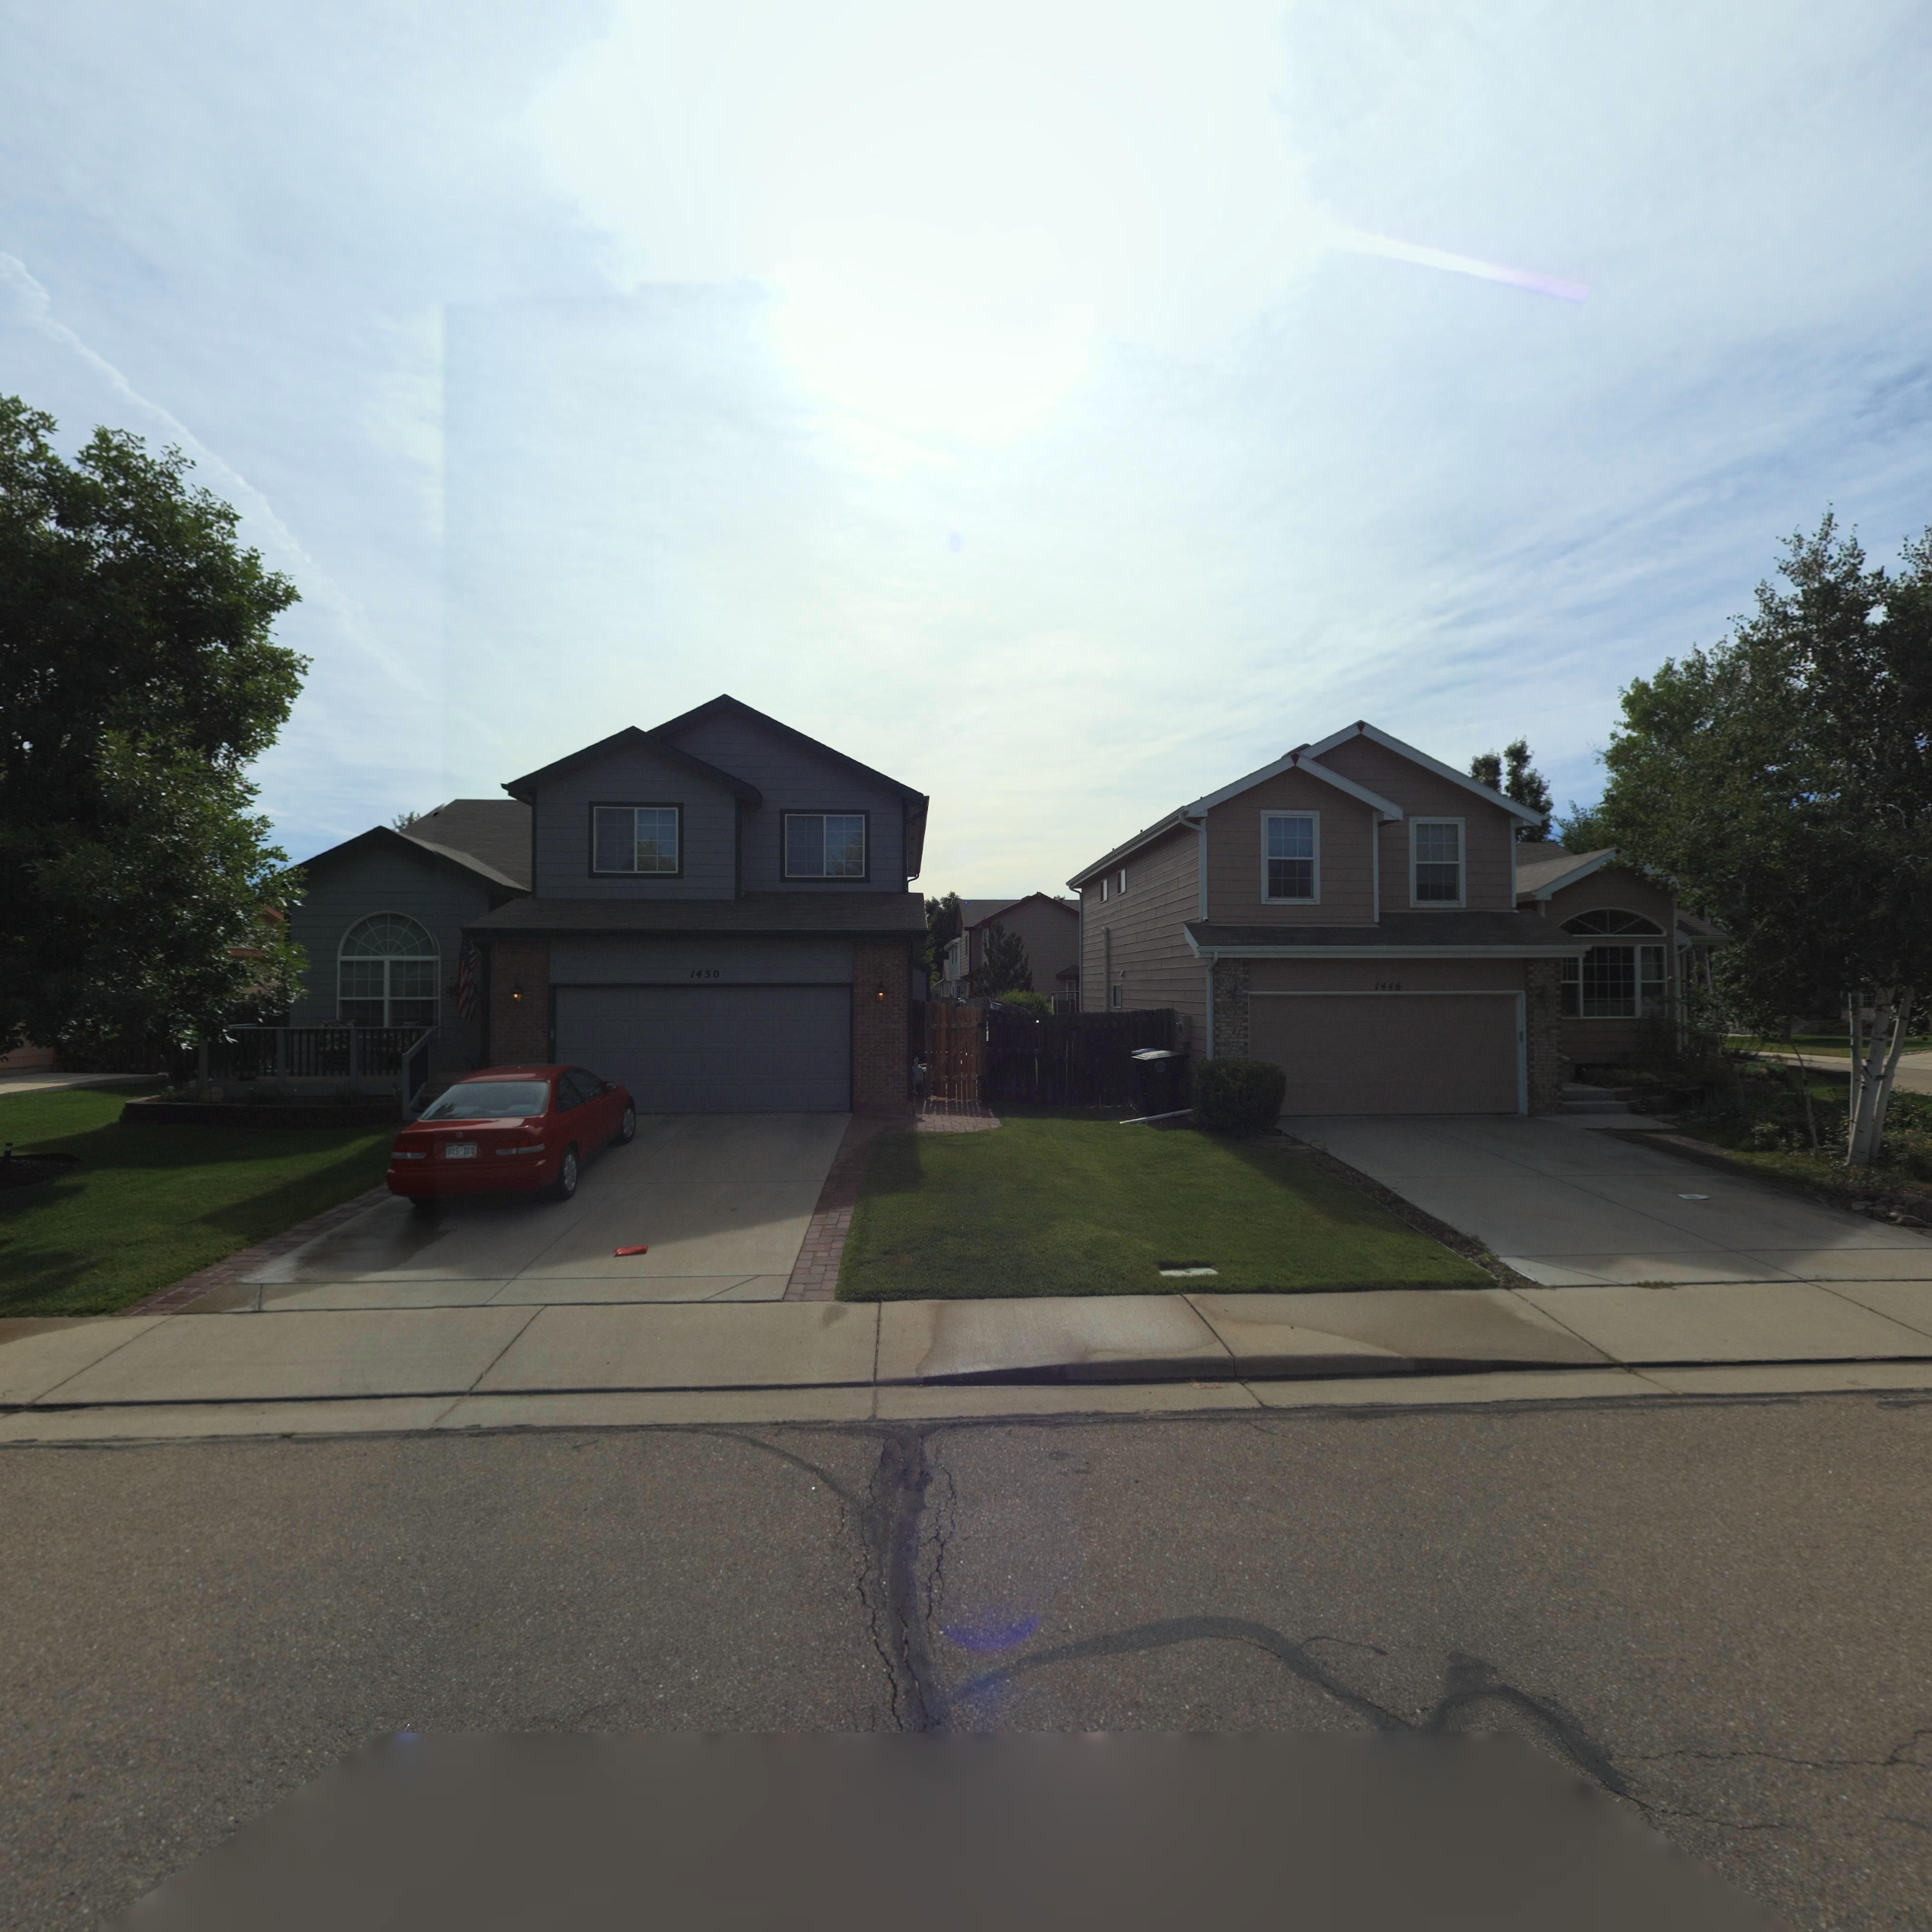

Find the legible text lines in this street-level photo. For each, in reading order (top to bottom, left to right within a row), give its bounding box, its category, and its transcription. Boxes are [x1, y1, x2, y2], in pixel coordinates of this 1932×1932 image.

[689, 968, 720, 978] StreetNumber: 1450
[1374, 981, 1401, 991] StreetNumber: 1446